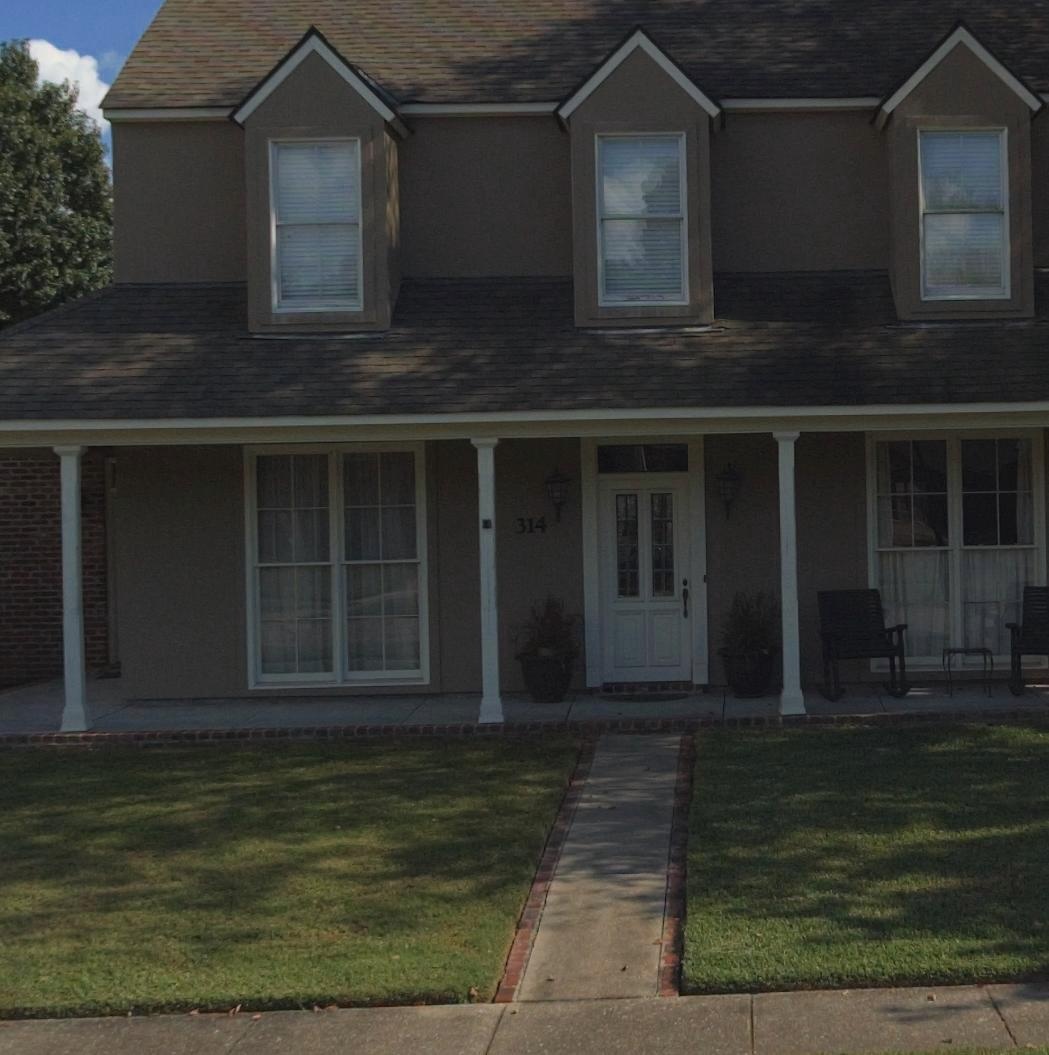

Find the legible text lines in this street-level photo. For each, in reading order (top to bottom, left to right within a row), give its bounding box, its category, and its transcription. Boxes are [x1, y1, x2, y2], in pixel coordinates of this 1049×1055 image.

[515, 517, 548, 535] StreetNumber: 314